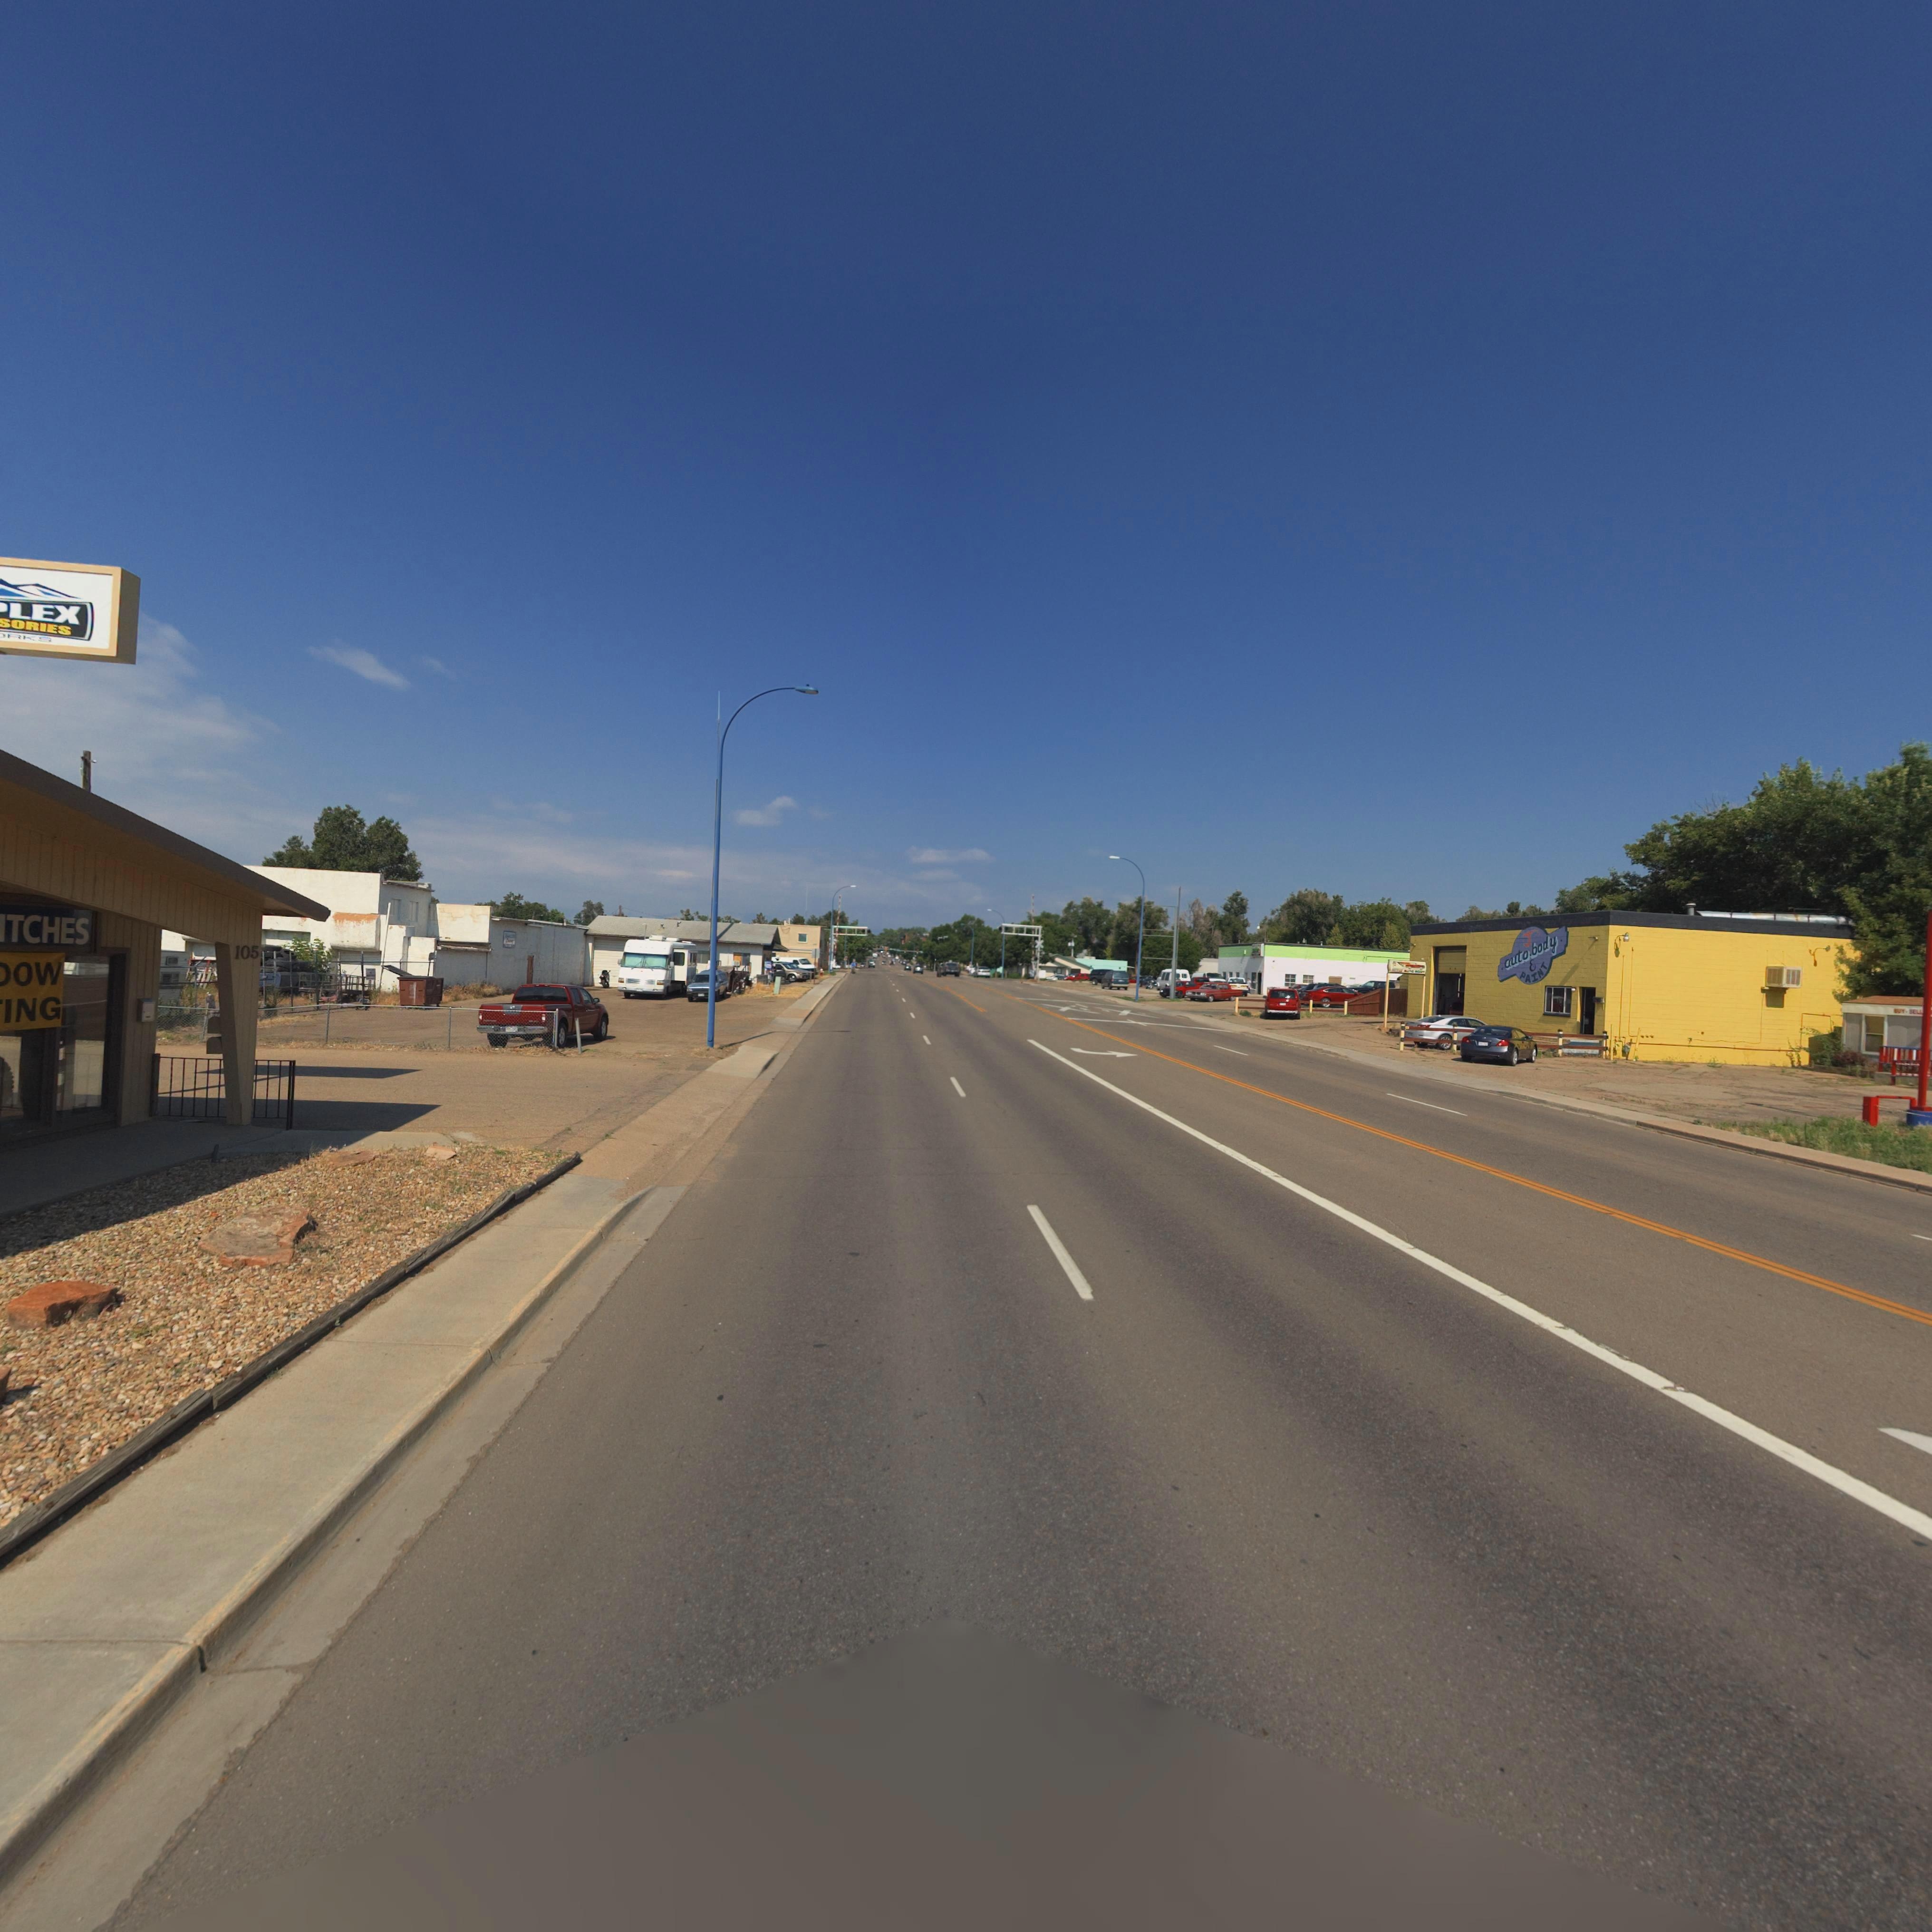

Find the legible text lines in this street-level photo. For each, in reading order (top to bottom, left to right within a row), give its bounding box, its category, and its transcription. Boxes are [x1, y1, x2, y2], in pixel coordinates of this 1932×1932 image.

[8, 601, 82, 626] BusinessName: LEX
[10, 618, 72, 636] BusinessName: ORIES
[1522, 928, 1541, 948] BusinessName: J's
[234, 944, 259, 960] StreetNumber: 105
[1504, 935, 1557, 969] BusinessName: auto body
[1403, 969, 1425, 974] BusinessName: AUYO *OD*
[1518, 960, 1548, 984] BusinessName: PAINT